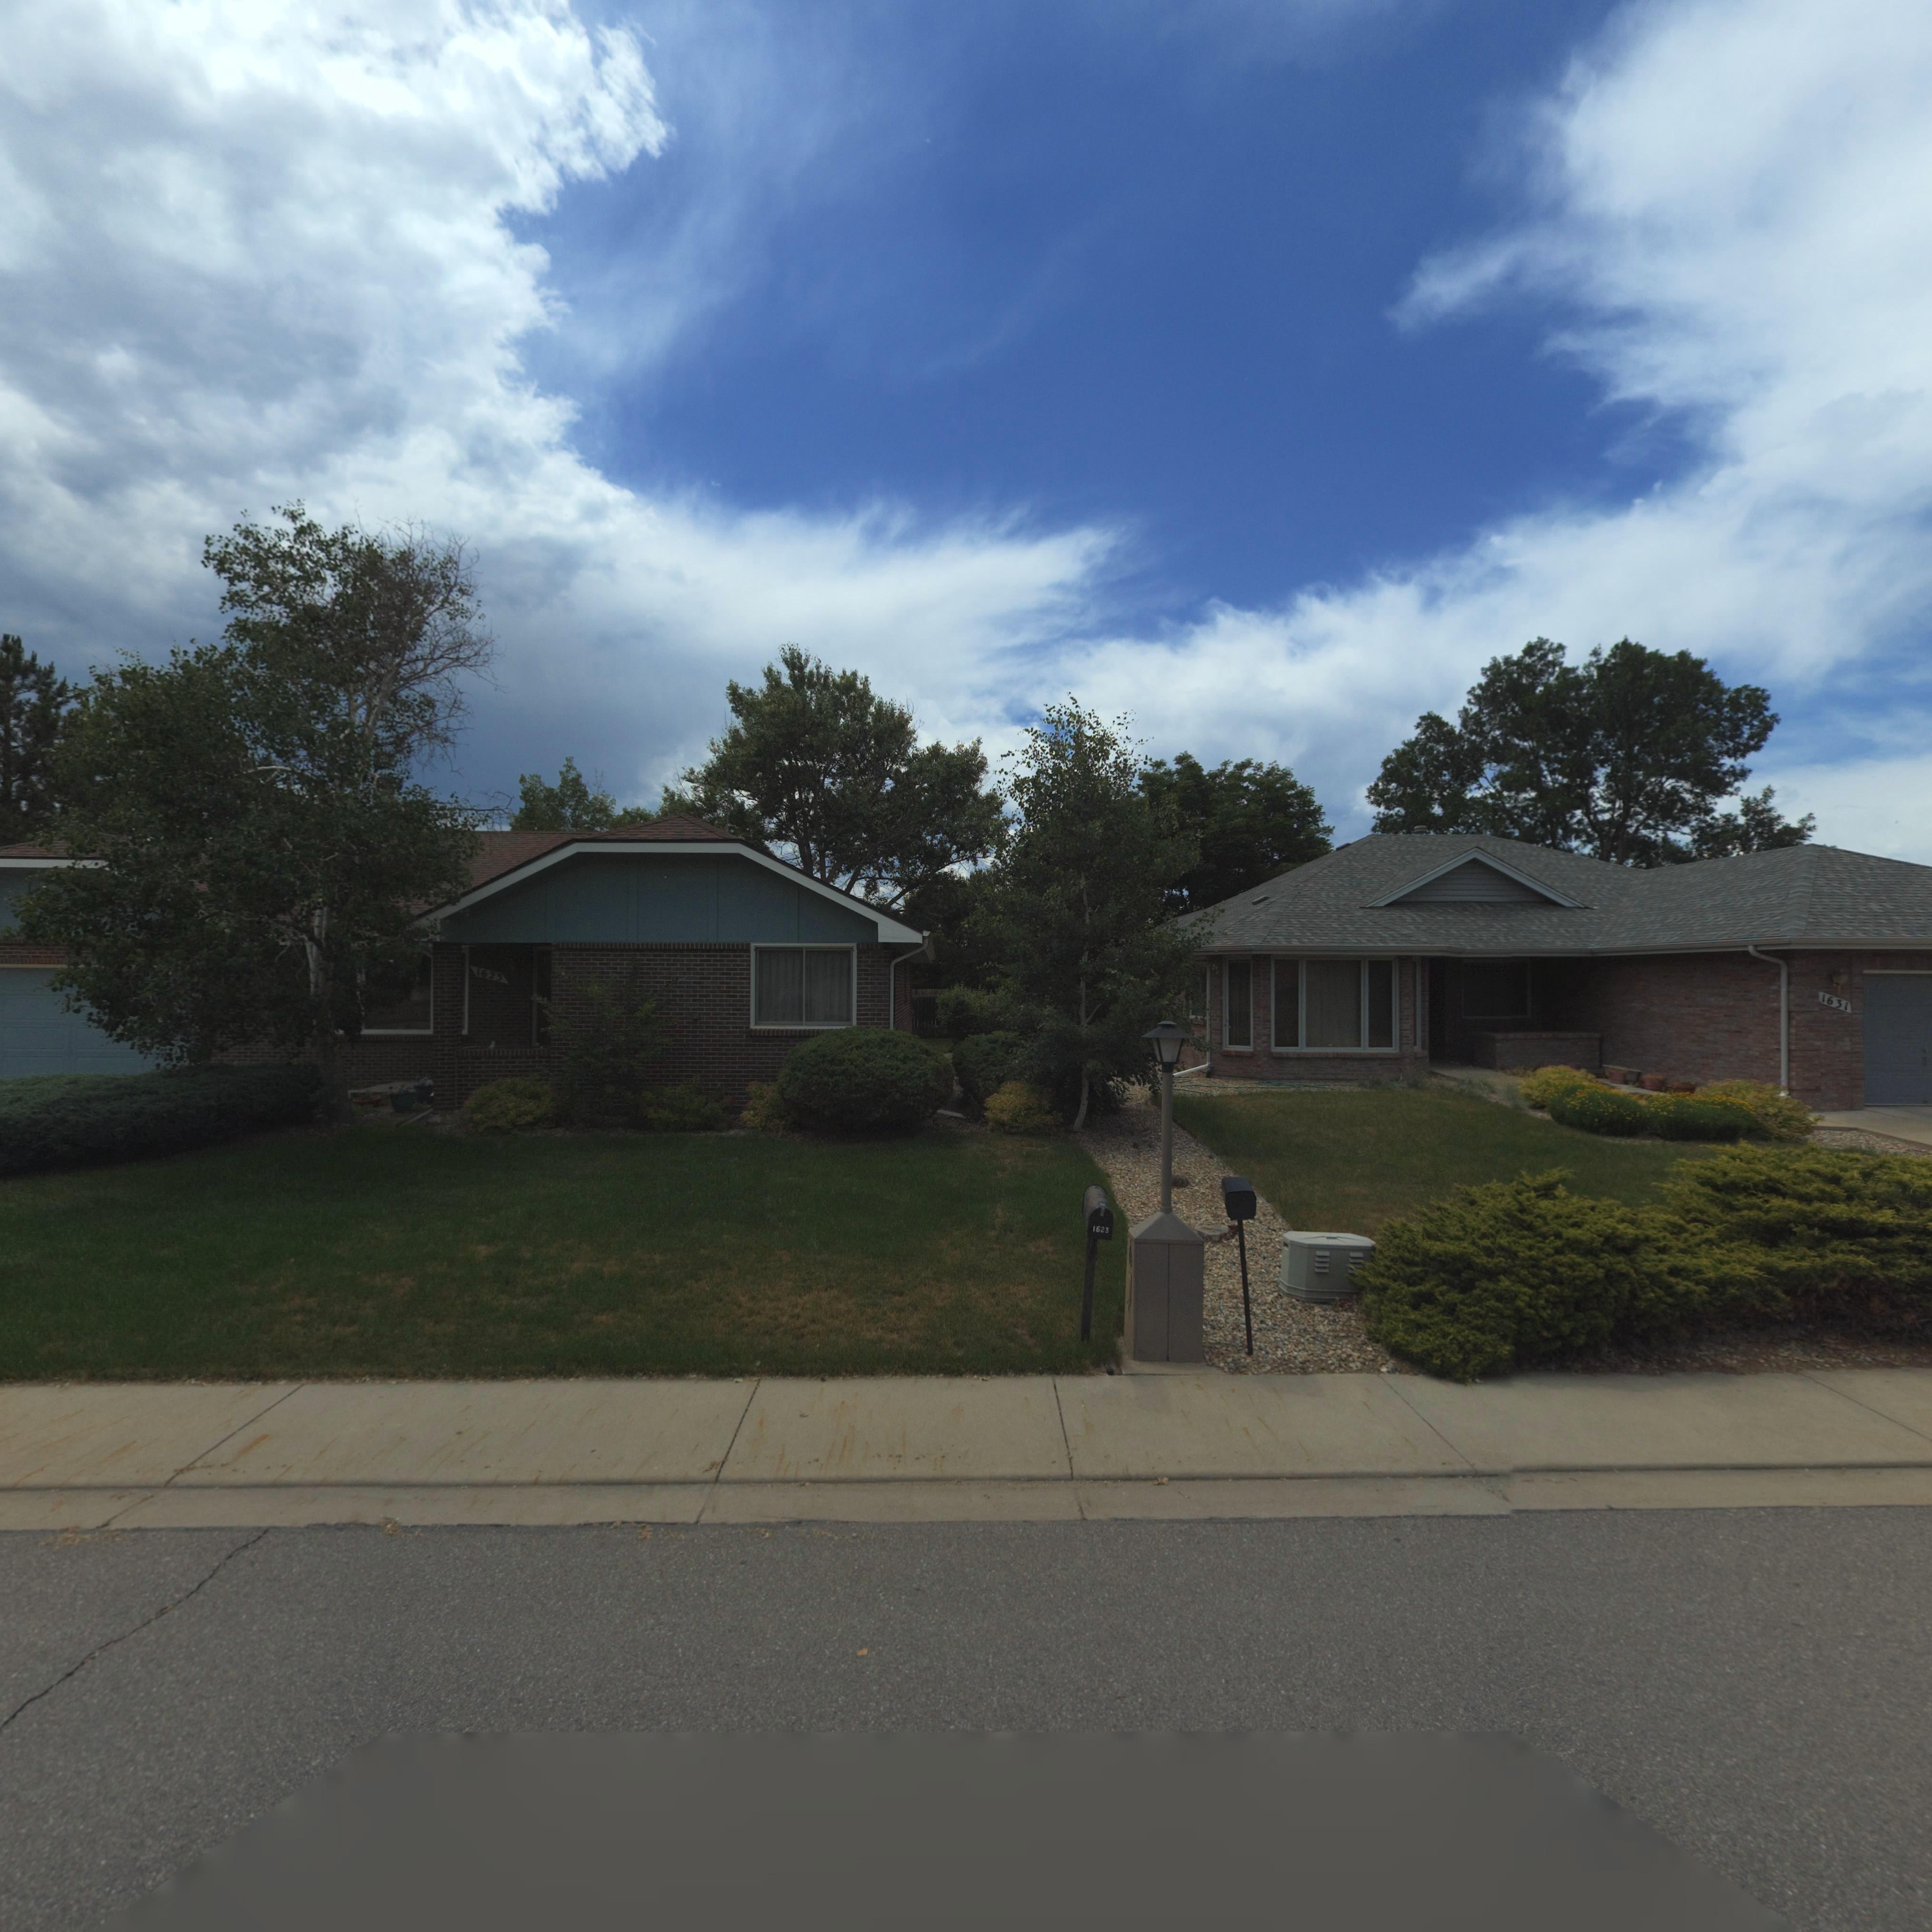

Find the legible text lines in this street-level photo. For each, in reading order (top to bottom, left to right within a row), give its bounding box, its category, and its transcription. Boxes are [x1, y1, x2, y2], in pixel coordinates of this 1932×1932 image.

[476, 967, 502, 981] StreetNumber: 1623
[1822, 993, 1849, 1011] StreetNumber: 1631
[1092, 1224, 1109, 1234] StreetNumber: 1623